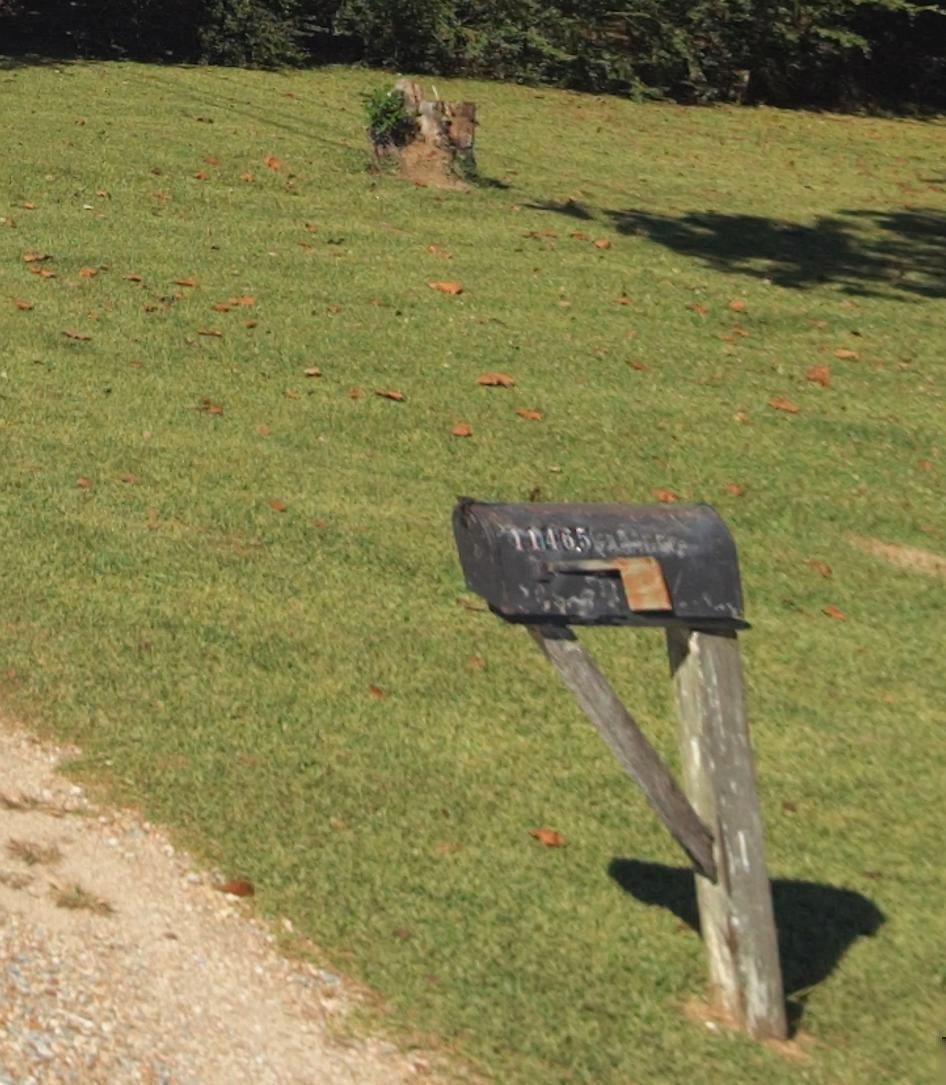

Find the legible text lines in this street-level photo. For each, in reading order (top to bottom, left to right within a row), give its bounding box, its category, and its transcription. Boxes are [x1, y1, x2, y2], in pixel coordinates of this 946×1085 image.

[507, 526, 593, 552] StreetNumber: 11465